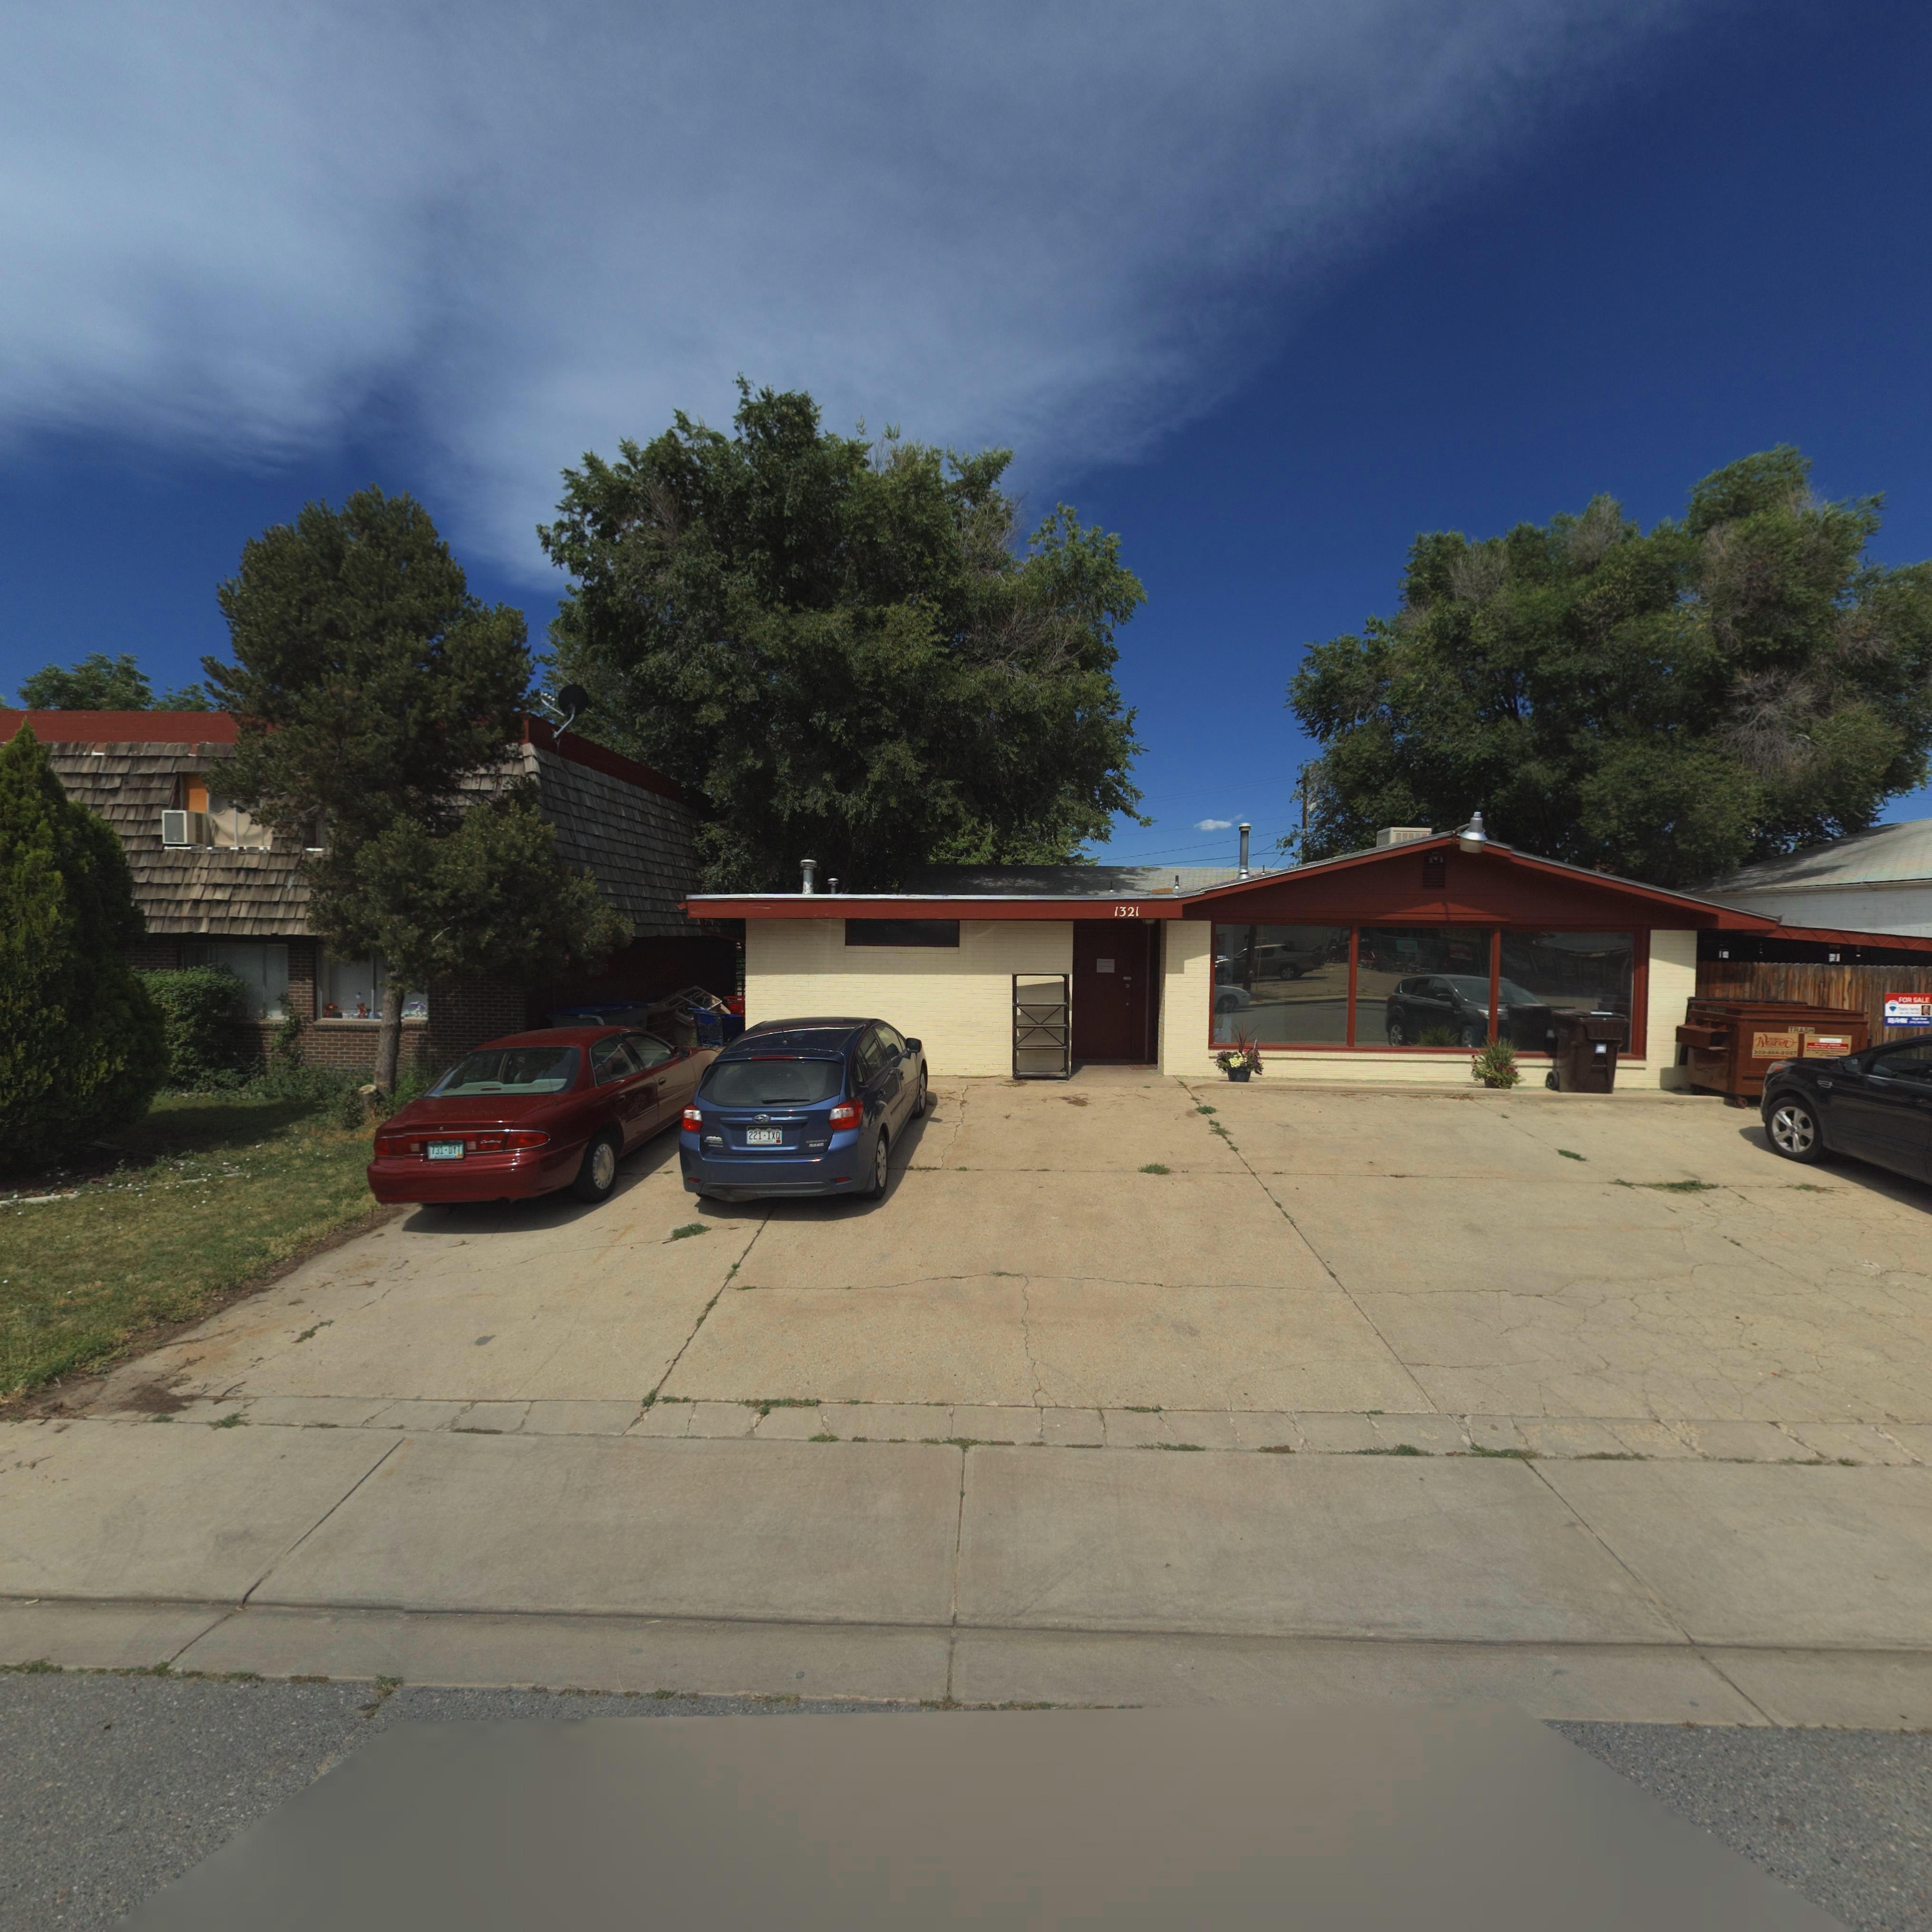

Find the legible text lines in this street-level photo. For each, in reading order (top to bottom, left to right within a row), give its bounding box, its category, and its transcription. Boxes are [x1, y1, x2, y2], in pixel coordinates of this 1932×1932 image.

[1114, 906, 1139, 917] StreetNumber: 1321